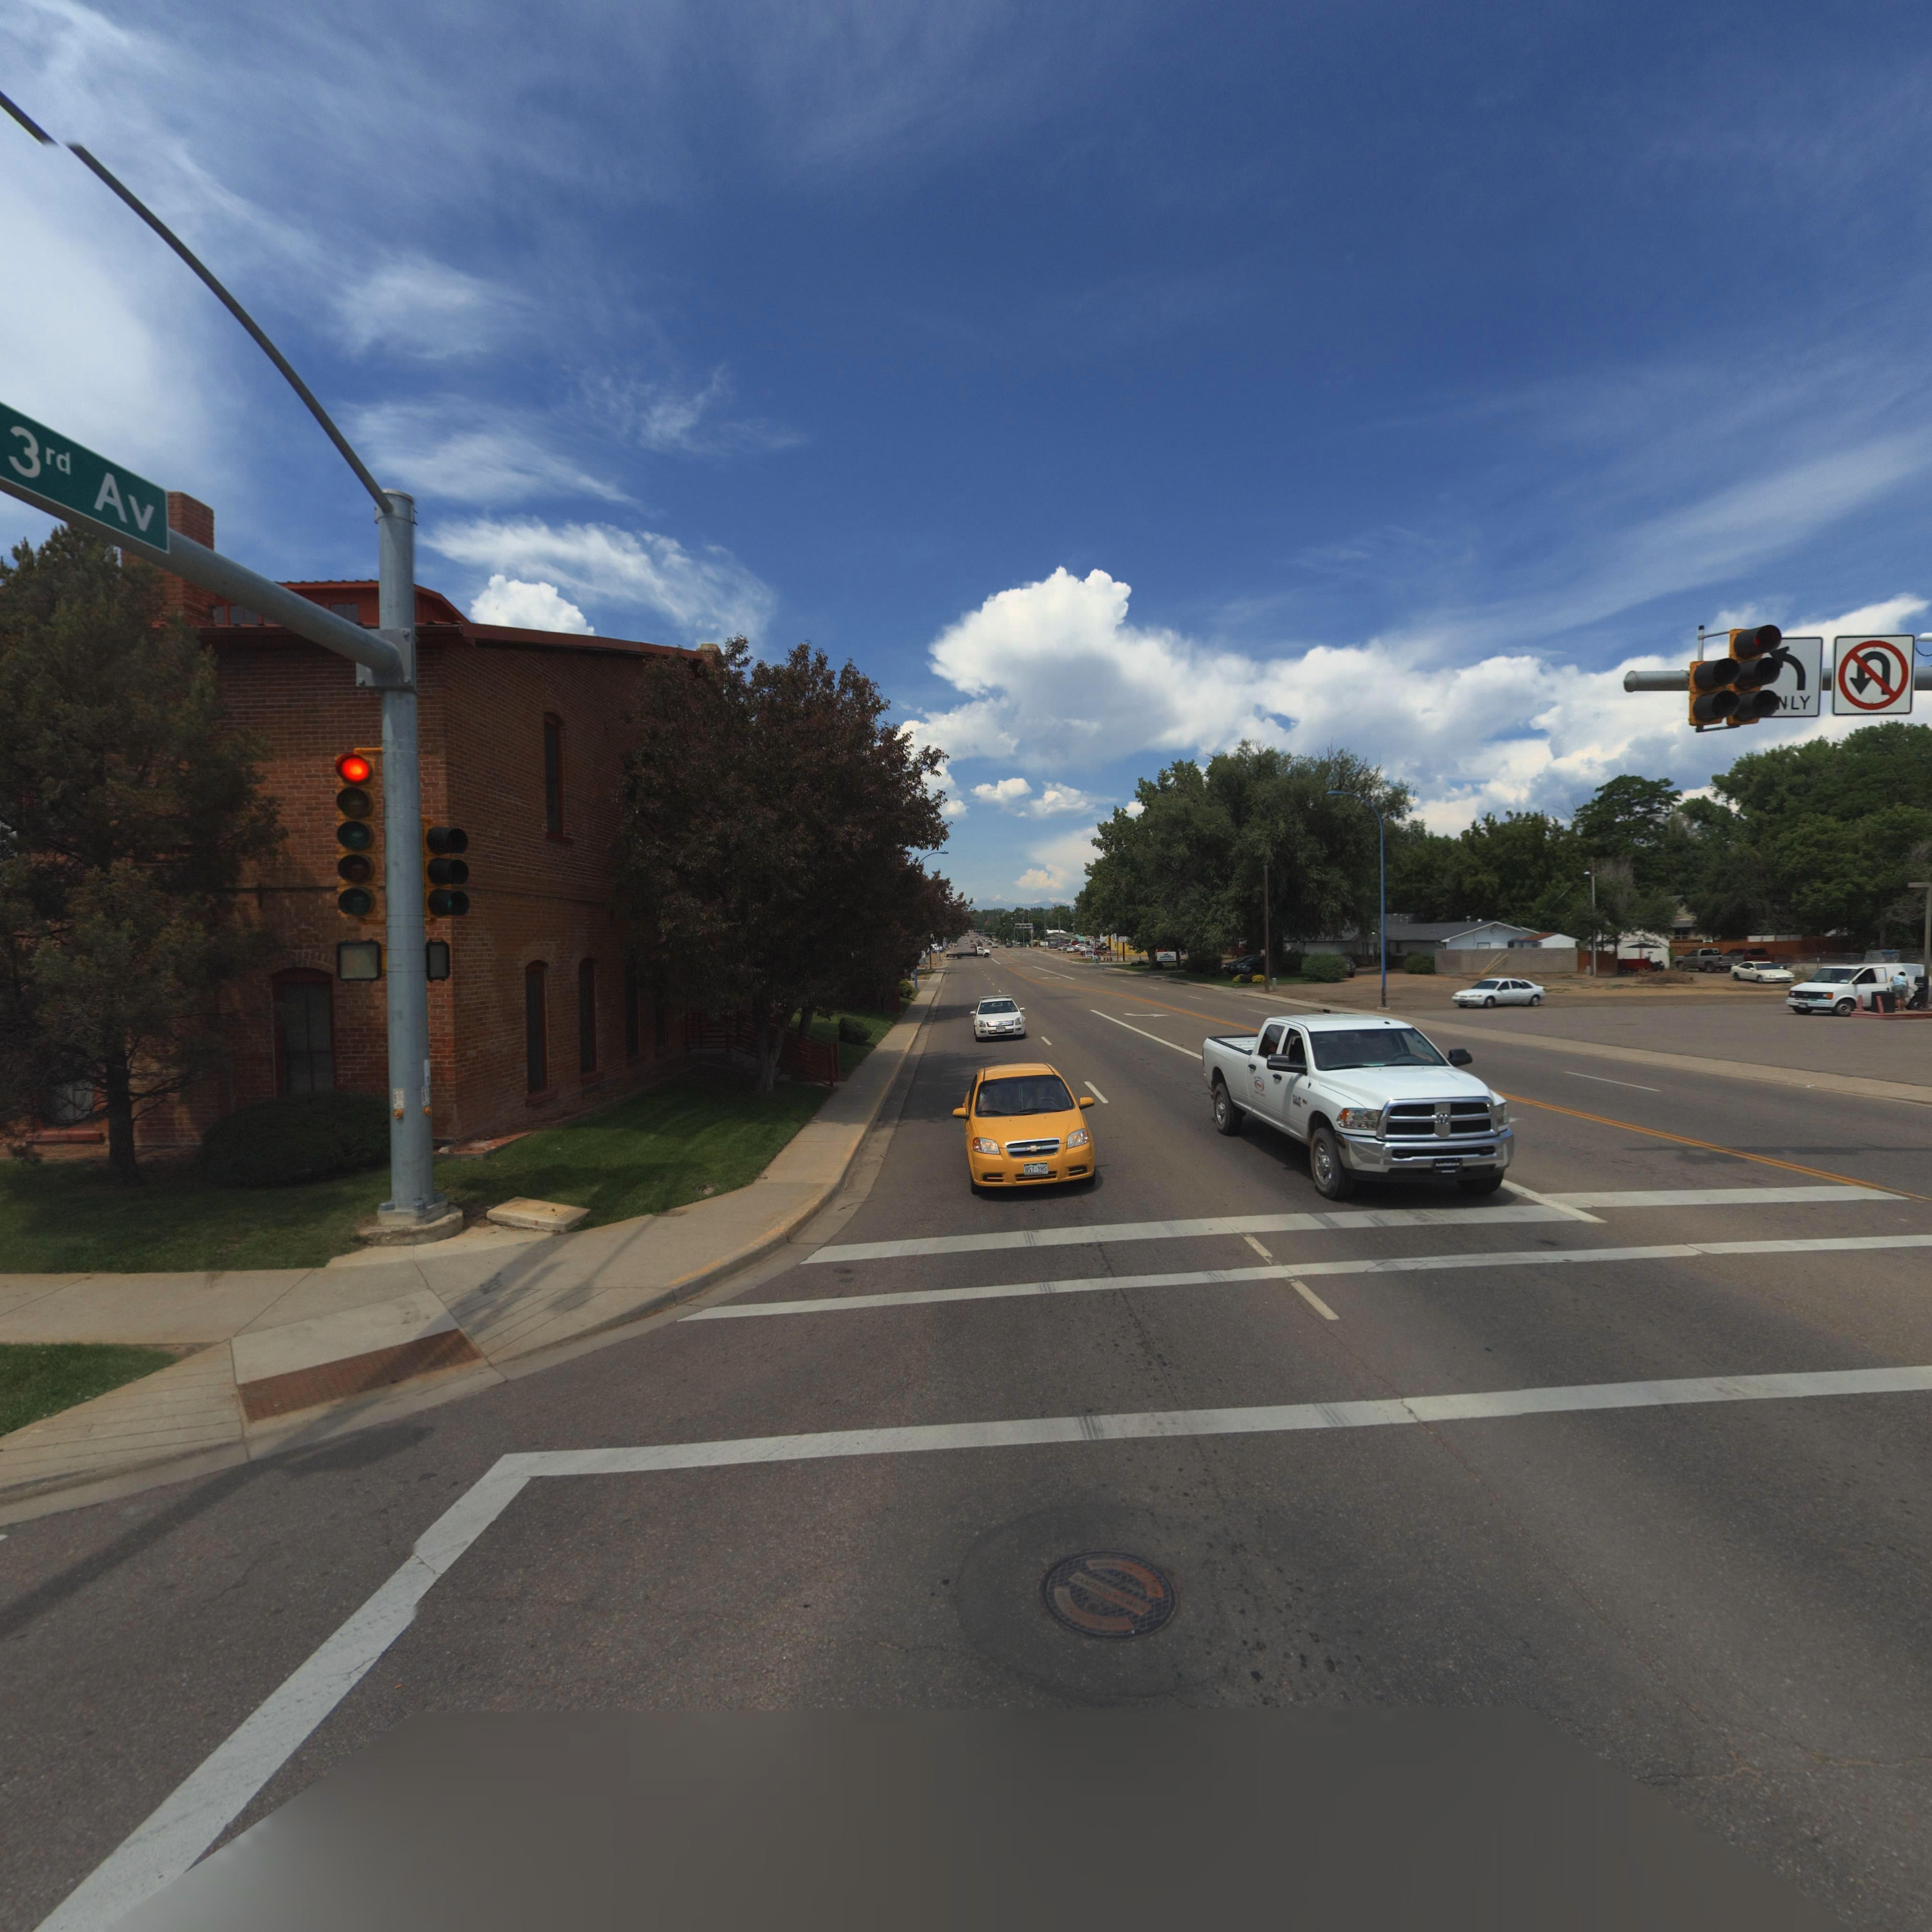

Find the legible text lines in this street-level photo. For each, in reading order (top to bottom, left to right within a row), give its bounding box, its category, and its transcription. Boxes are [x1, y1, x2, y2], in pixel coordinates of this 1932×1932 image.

[9, 415, 164, 541] StreetName: 3rd Av